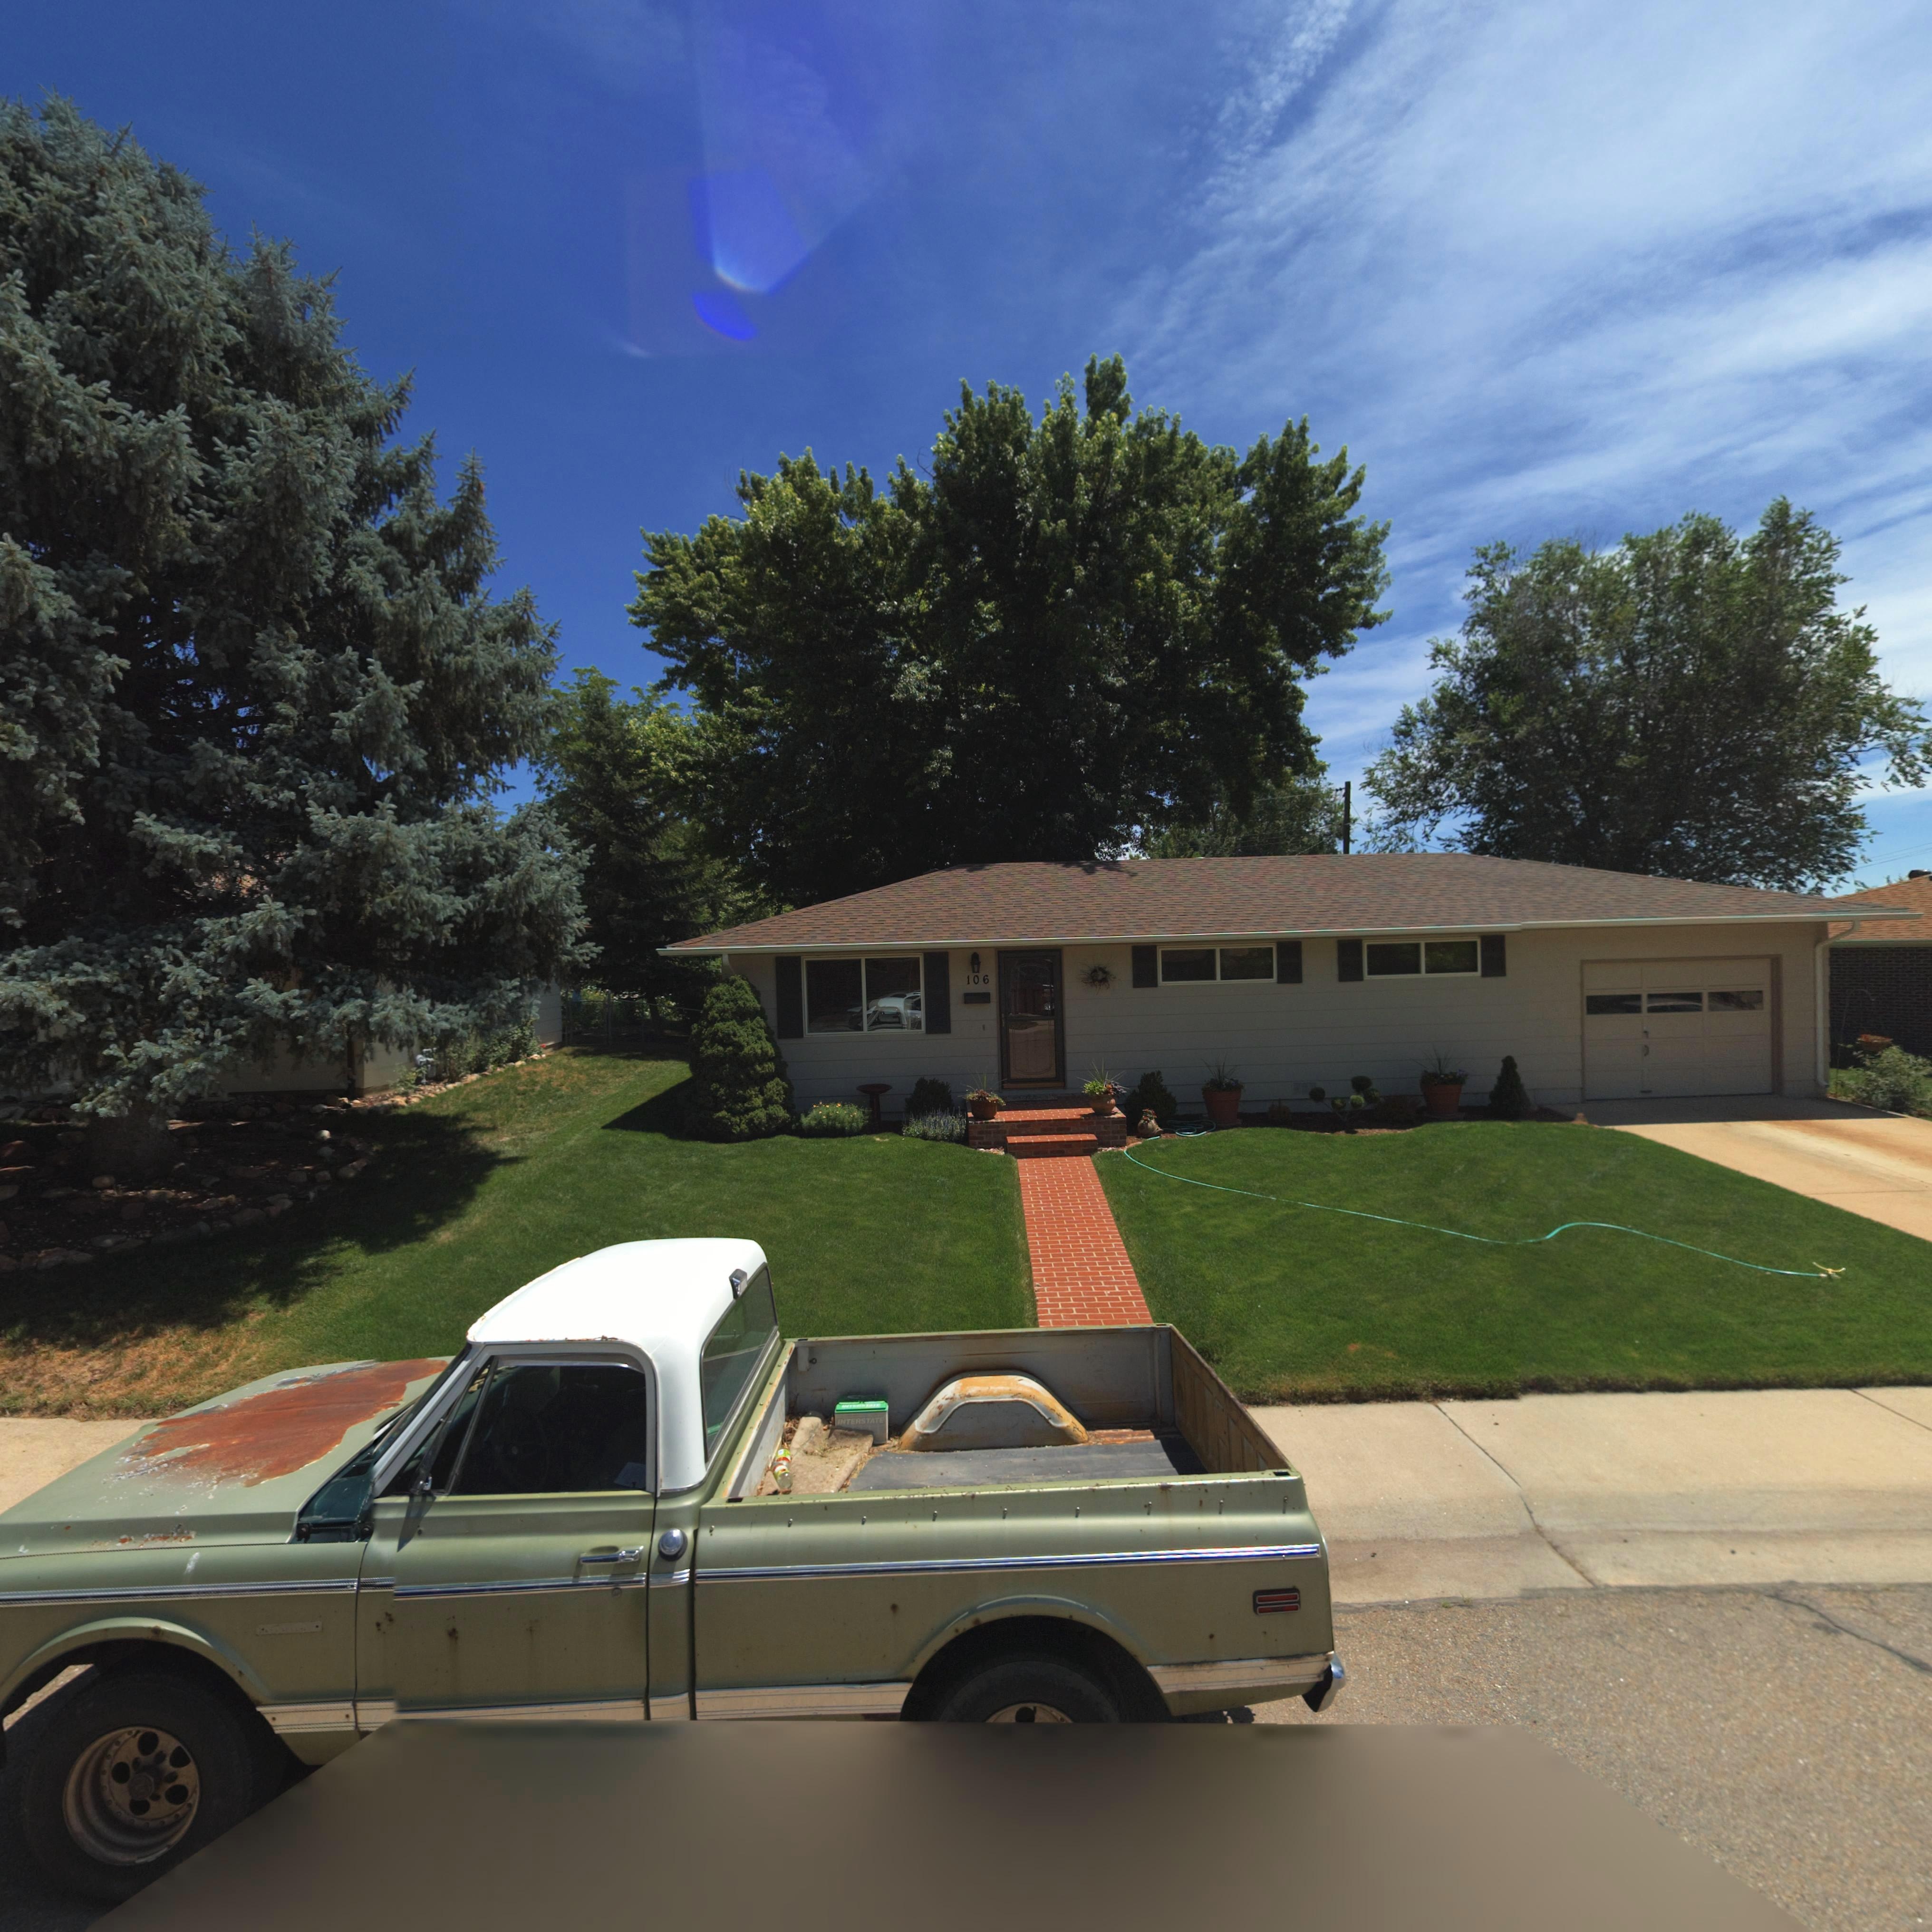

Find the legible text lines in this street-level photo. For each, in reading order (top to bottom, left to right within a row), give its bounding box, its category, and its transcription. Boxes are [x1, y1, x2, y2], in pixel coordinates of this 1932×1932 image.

[966, 974, 990, 985] StreetNumber: 106